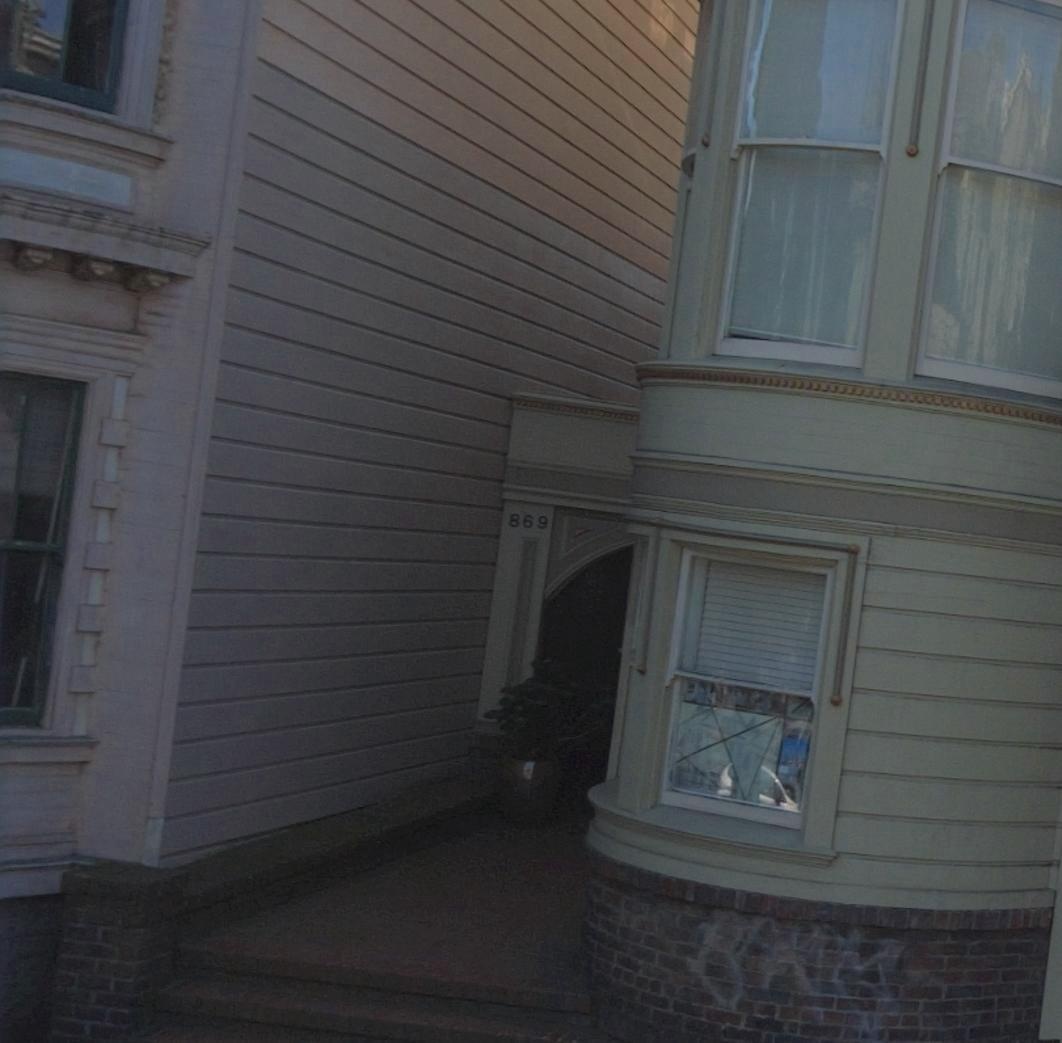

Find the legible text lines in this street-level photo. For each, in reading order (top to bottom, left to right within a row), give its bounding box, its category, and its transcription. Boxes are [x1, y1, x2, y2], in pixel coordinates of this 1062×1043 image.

[507, 511, 549, 531] StreetNumber: 869